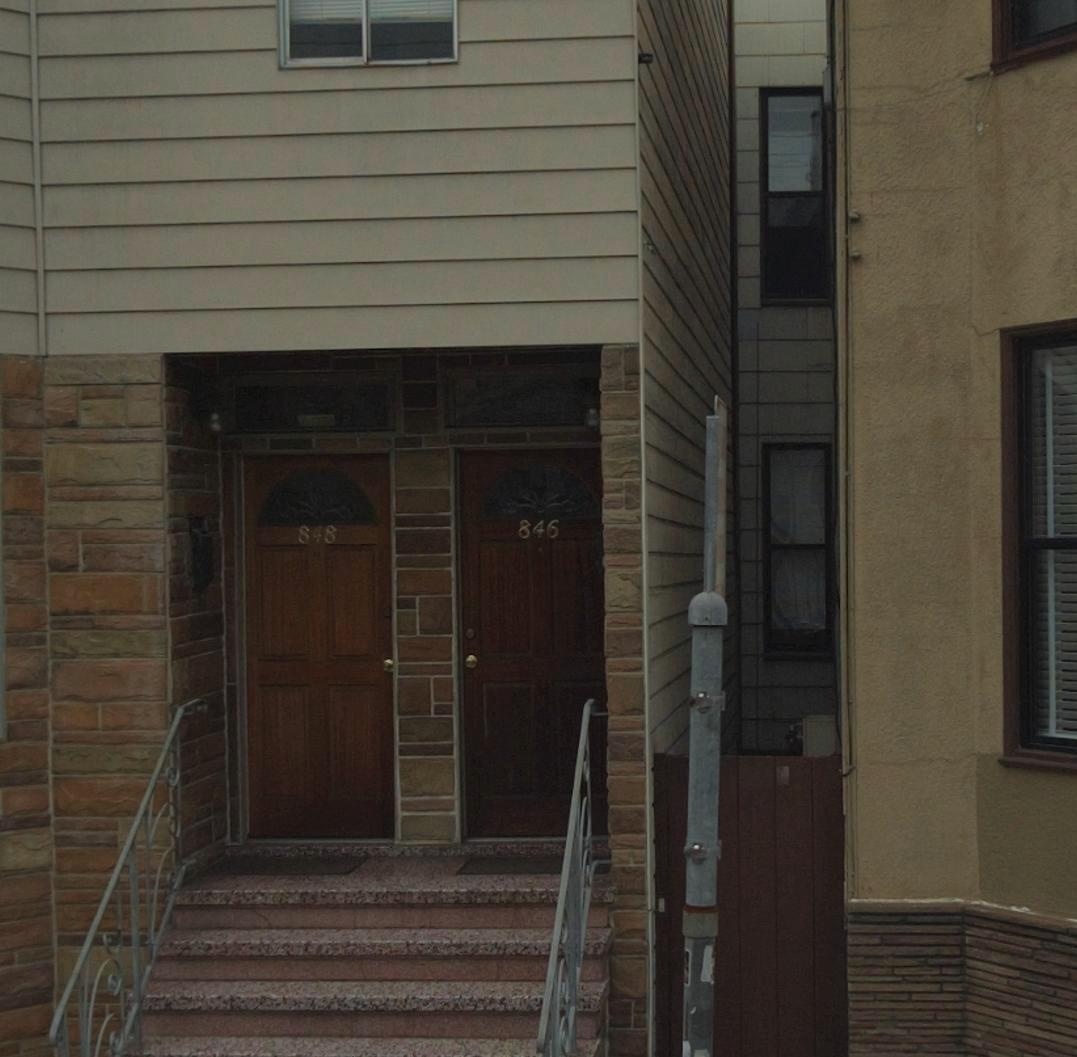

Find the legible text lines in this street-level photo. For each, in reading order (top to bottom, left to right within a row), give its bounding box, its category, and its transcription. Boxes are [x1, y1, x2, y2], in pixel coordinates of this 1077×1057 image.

[296, 523, 339, 545] StreetNumber: 848
[516, 518, 562, 540] StreetNumber: 846